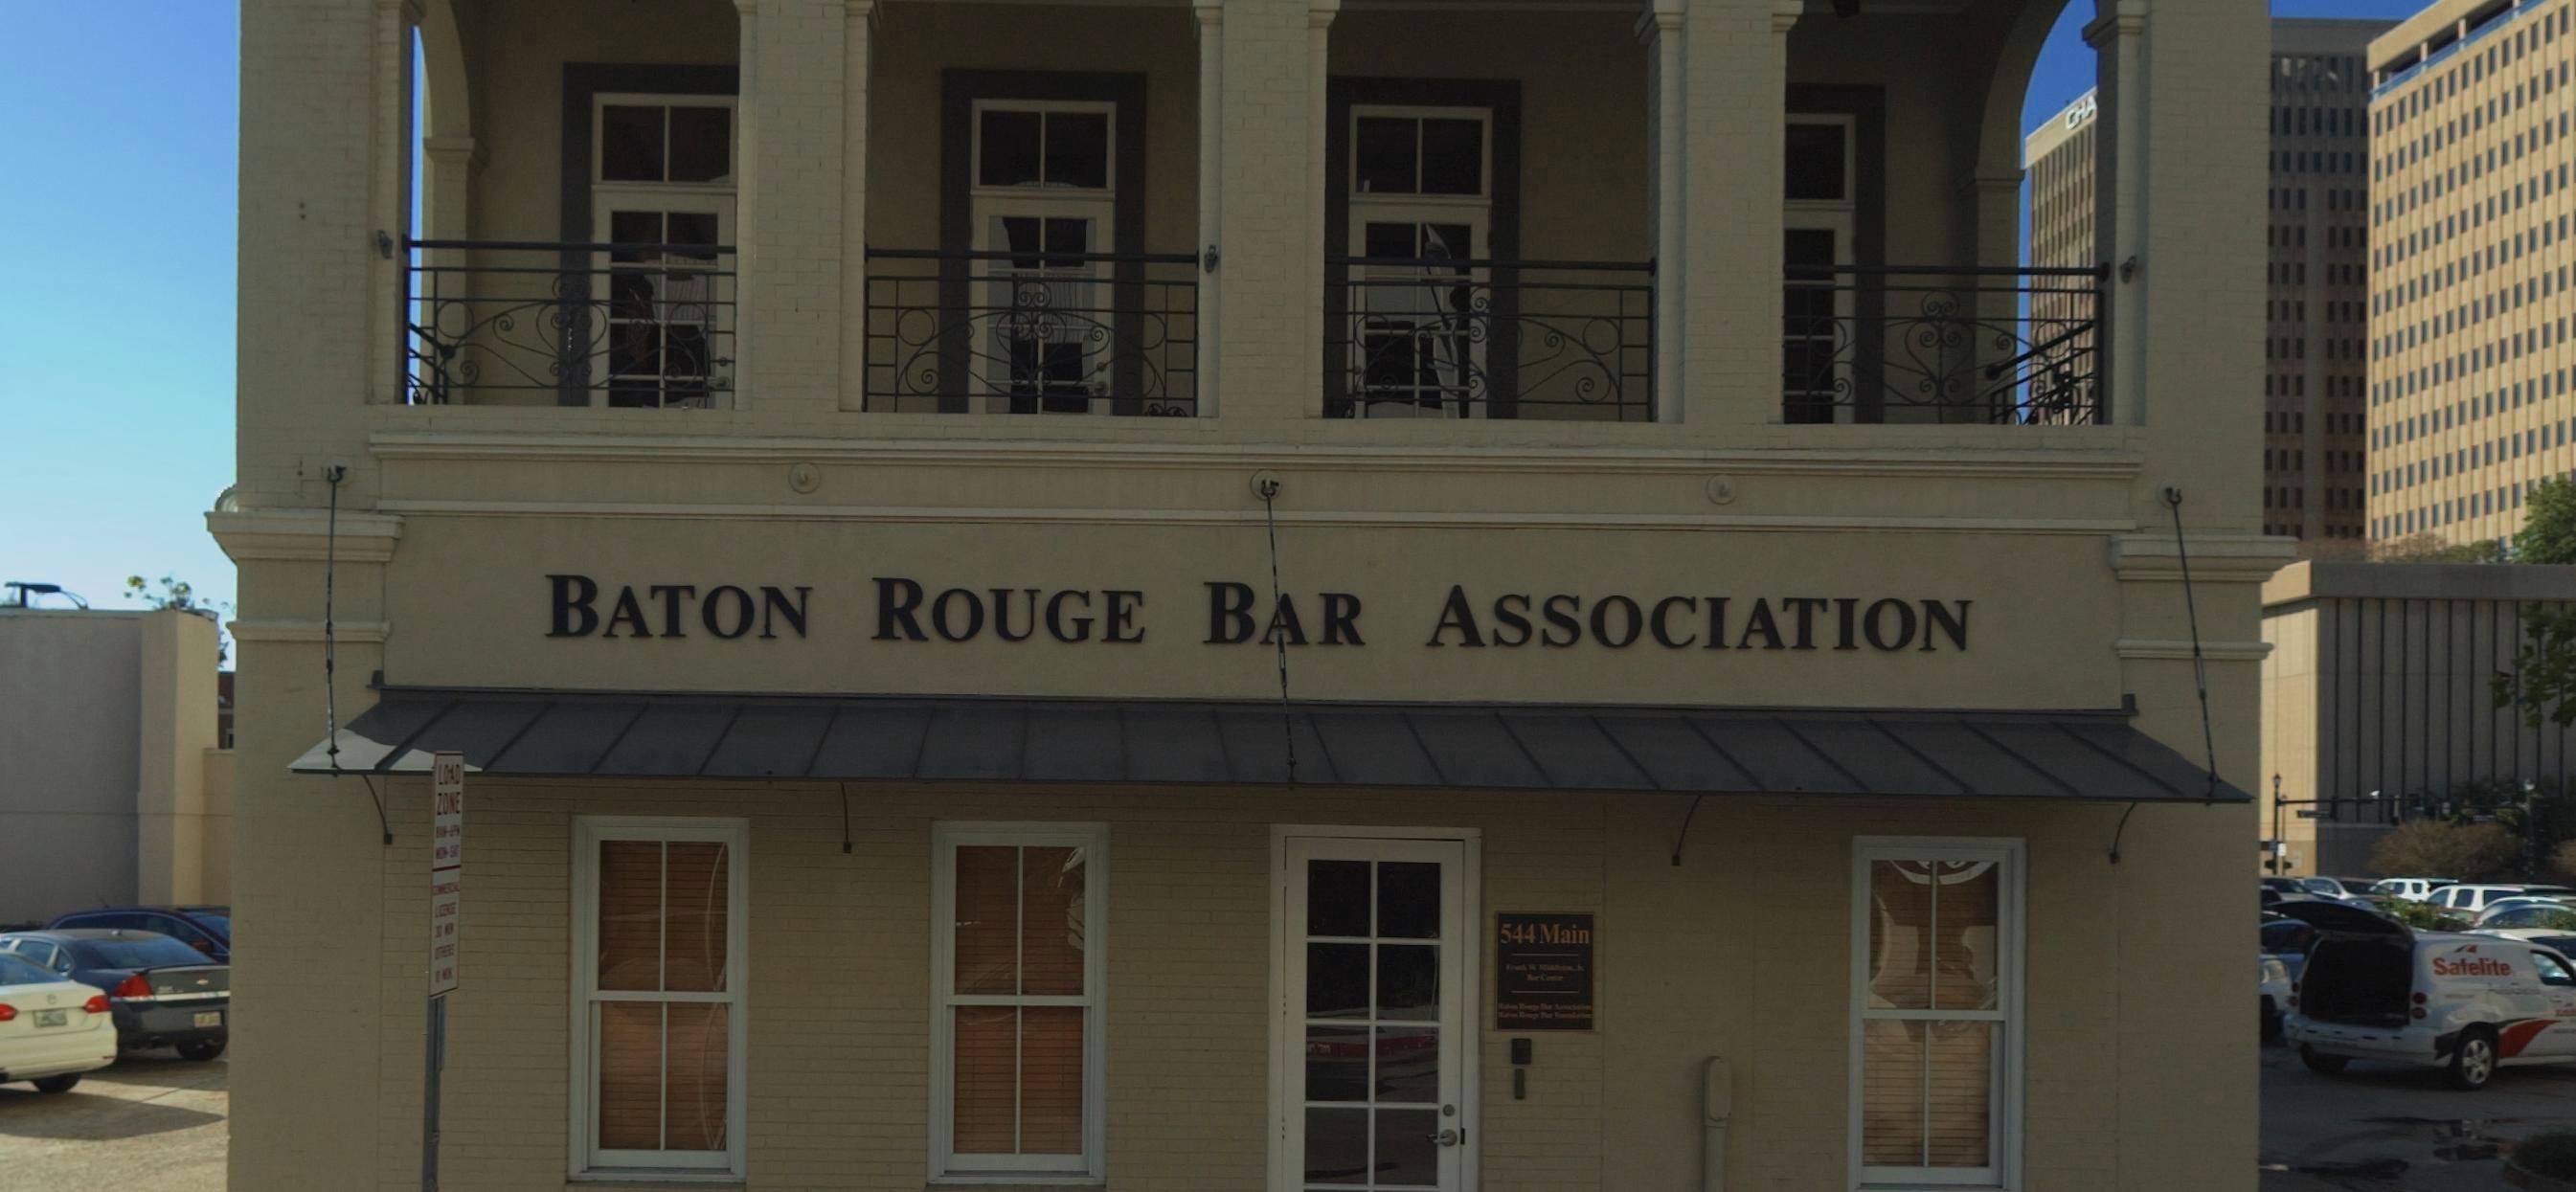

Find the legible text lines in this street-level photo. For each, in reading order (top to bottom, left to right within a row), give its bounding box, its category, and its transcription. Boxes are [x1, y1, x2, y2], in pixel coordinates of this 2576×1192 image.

[2062, 89, 2101, 133] None: CHA
[540, 564, 1977, 659] BusinessName: BATON ROUGE BAR ASSOCIATION
[436, 762, 463, 787] None: LOAD
[435, 790, 463, 819] None: ZONE
[1499, 921, 1537, 946] StreetNumber: 544
[1537, 921, 1593, 946] StreetName: Main
[2429, 955, 2515, 979] None: Satelite